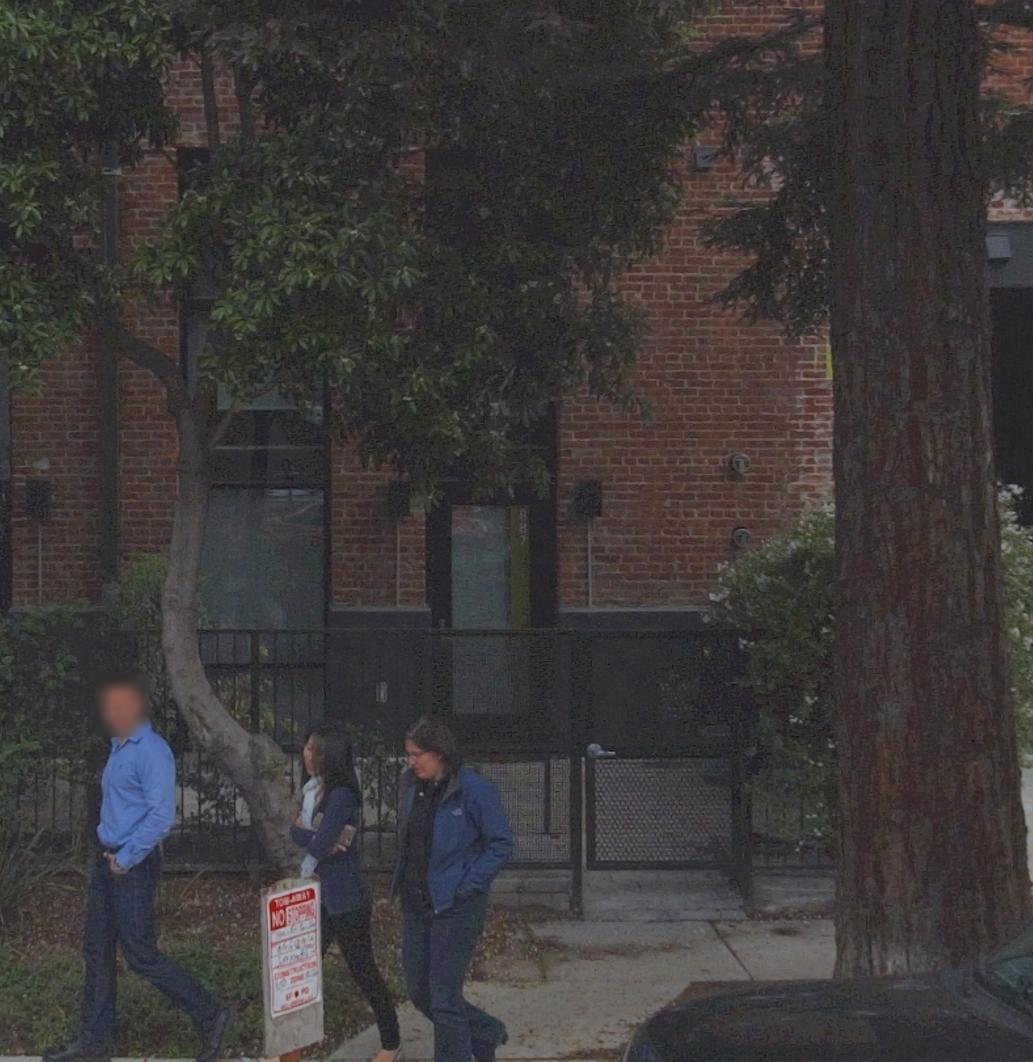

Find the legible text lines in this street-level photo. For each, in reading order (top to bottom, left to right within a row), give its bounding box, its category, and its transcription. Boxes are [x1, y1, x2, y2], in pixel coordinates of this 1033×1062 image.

[517, 508, 529, 549] StreetNumber: 887
[271, 908, 286, 930] None: NO